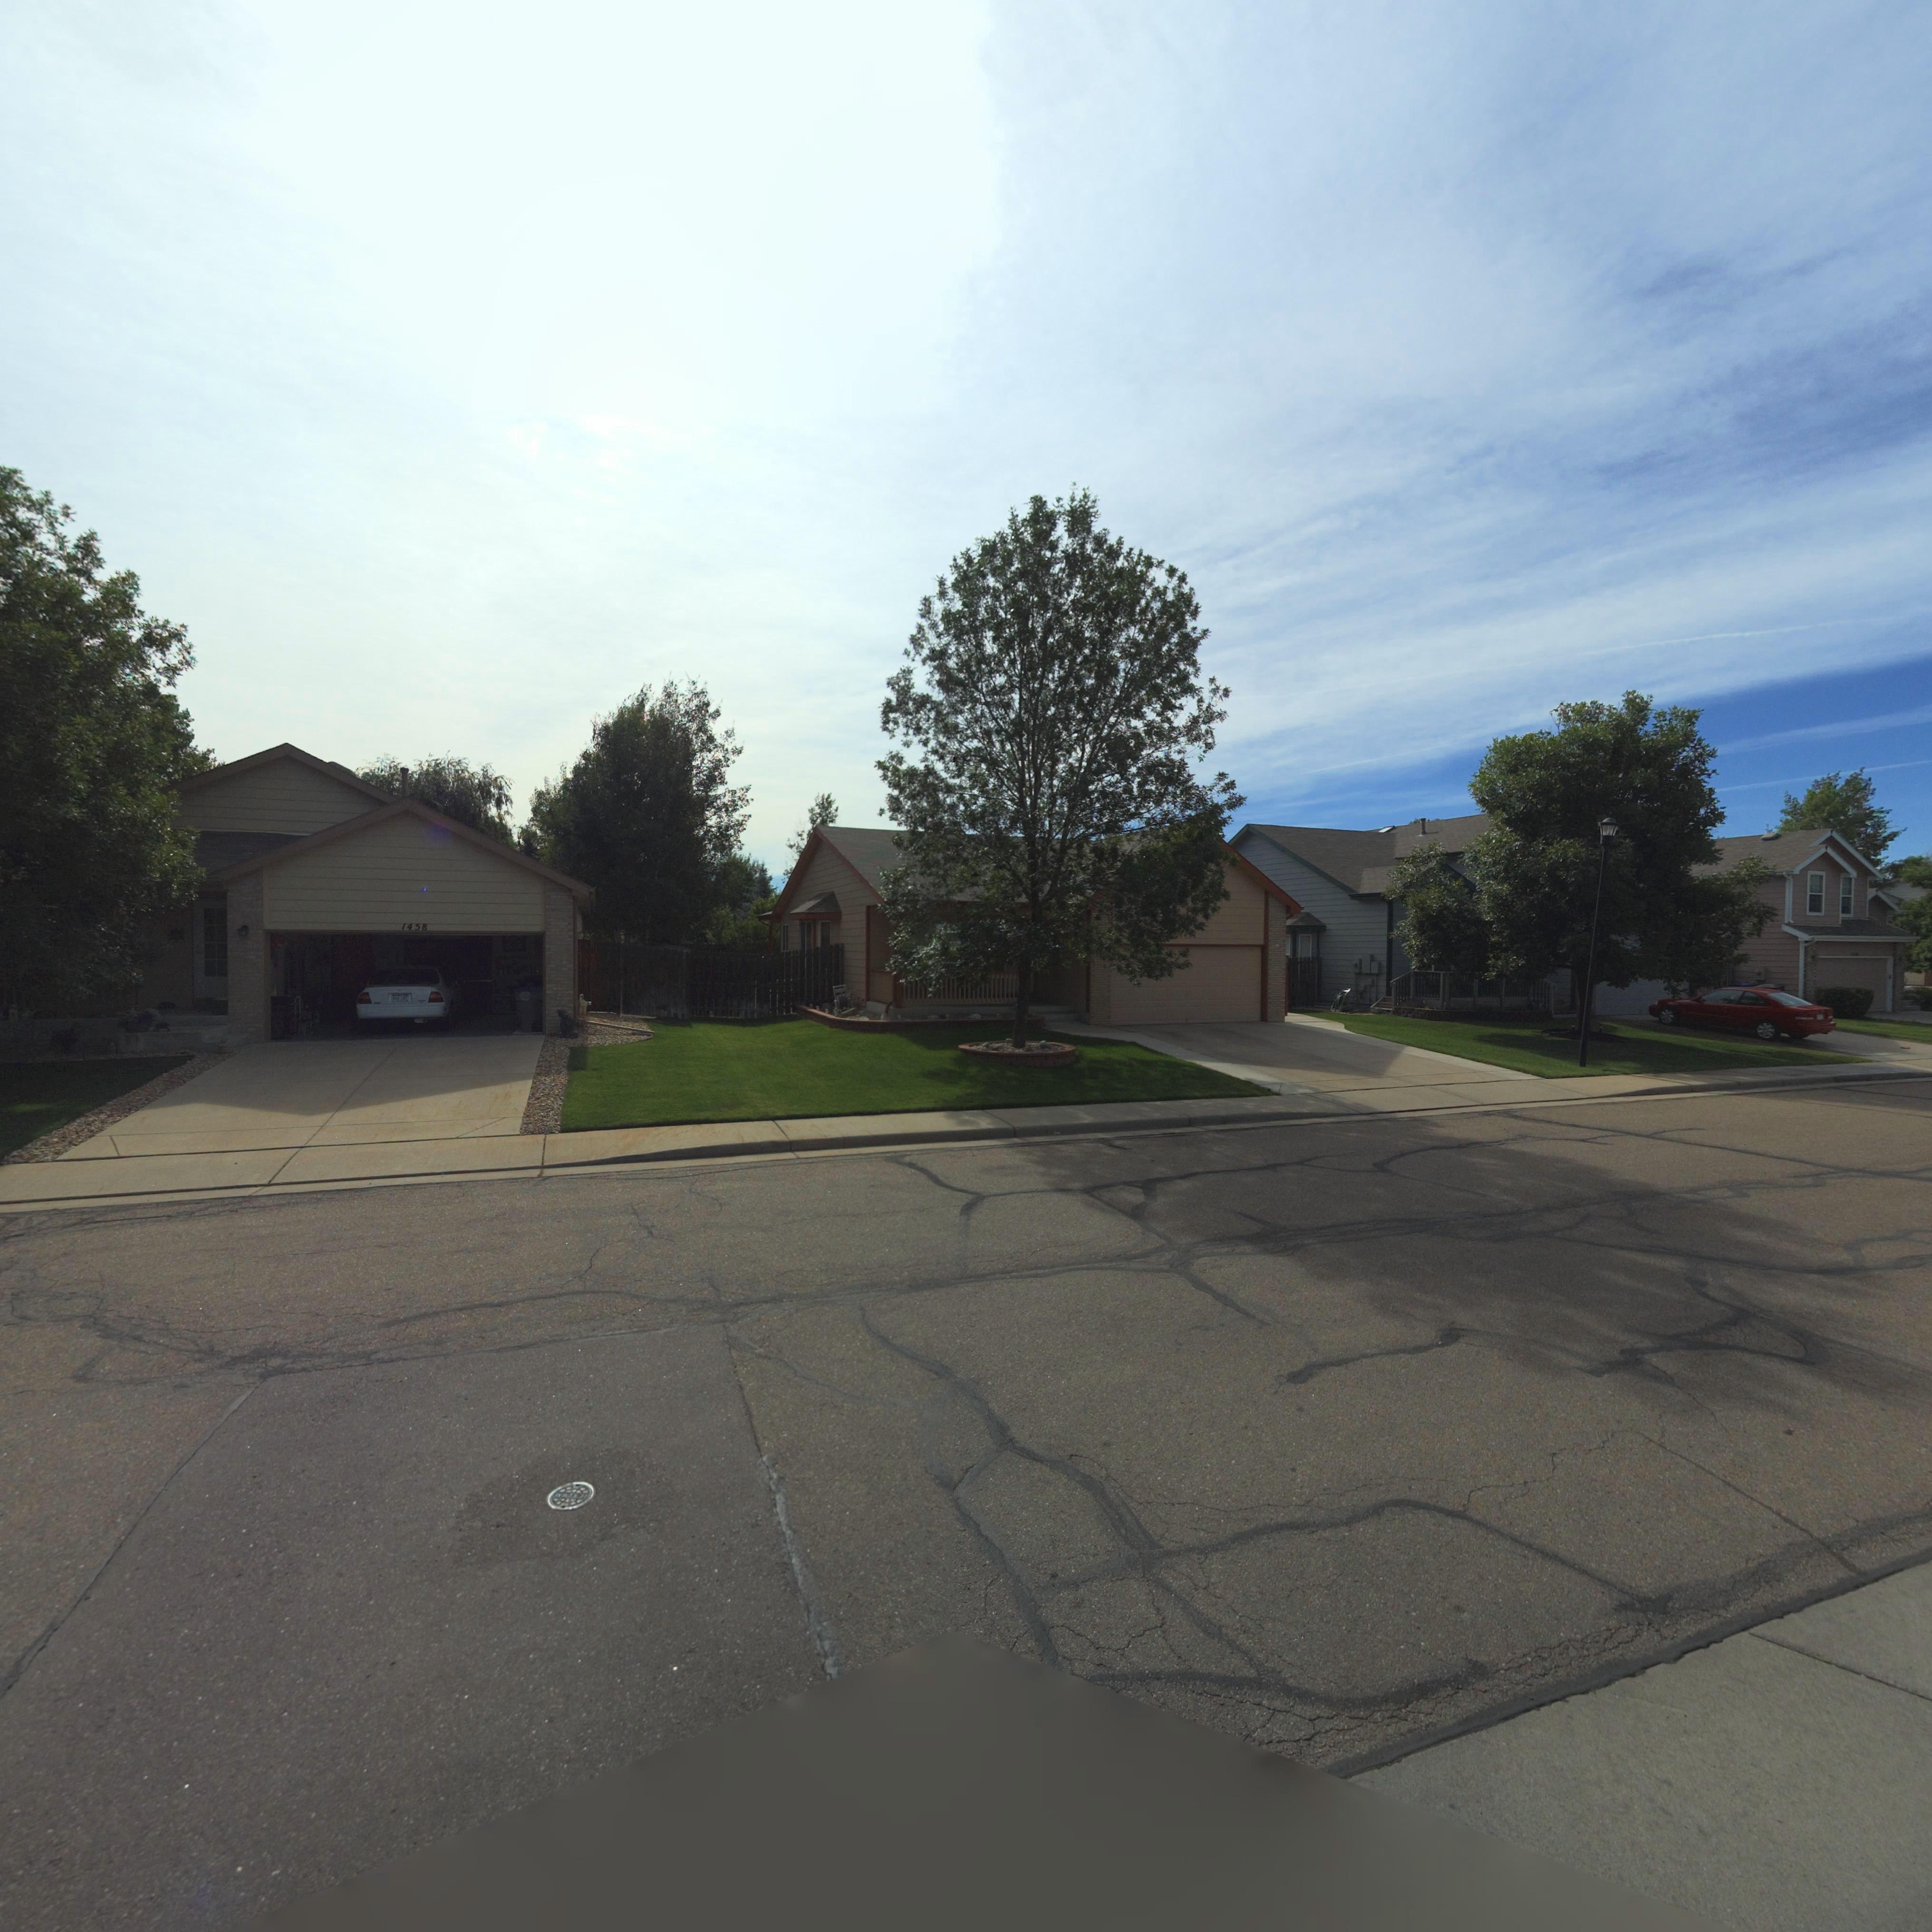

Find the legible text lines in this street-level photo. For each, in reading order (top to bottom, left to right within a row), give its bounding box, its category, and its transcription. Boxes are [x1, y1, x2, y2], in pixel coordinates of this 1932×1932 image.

[401, 922, 427, 930] StreetNumber: 1458